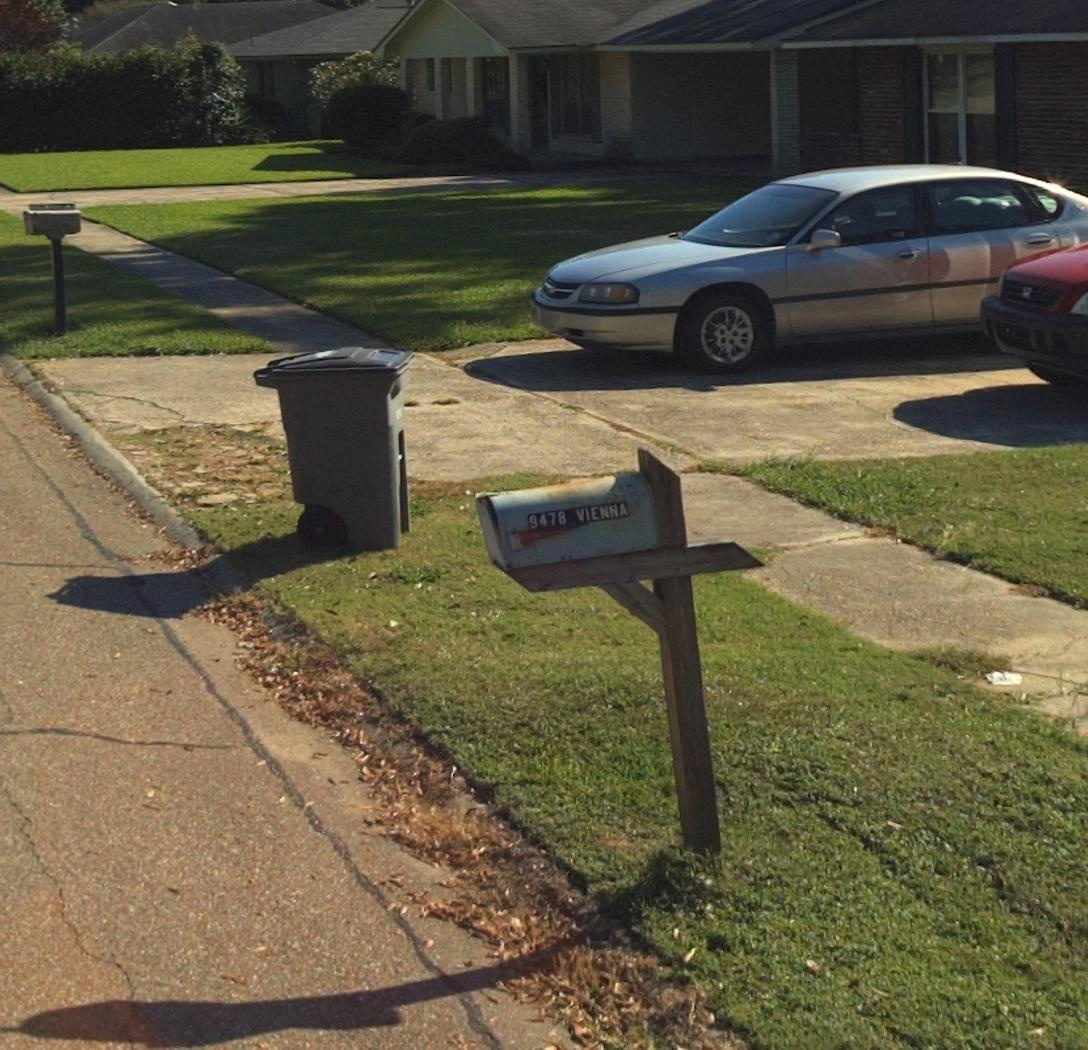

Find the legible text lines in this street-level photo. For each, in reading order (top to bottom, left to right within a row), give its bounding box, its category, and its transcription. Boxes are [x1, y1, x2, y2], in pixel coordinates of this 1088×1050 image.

[527, 510, 569, 530] StreetNumber: 9478
[572, 502, 631, 523] StreetName: VIENNA\